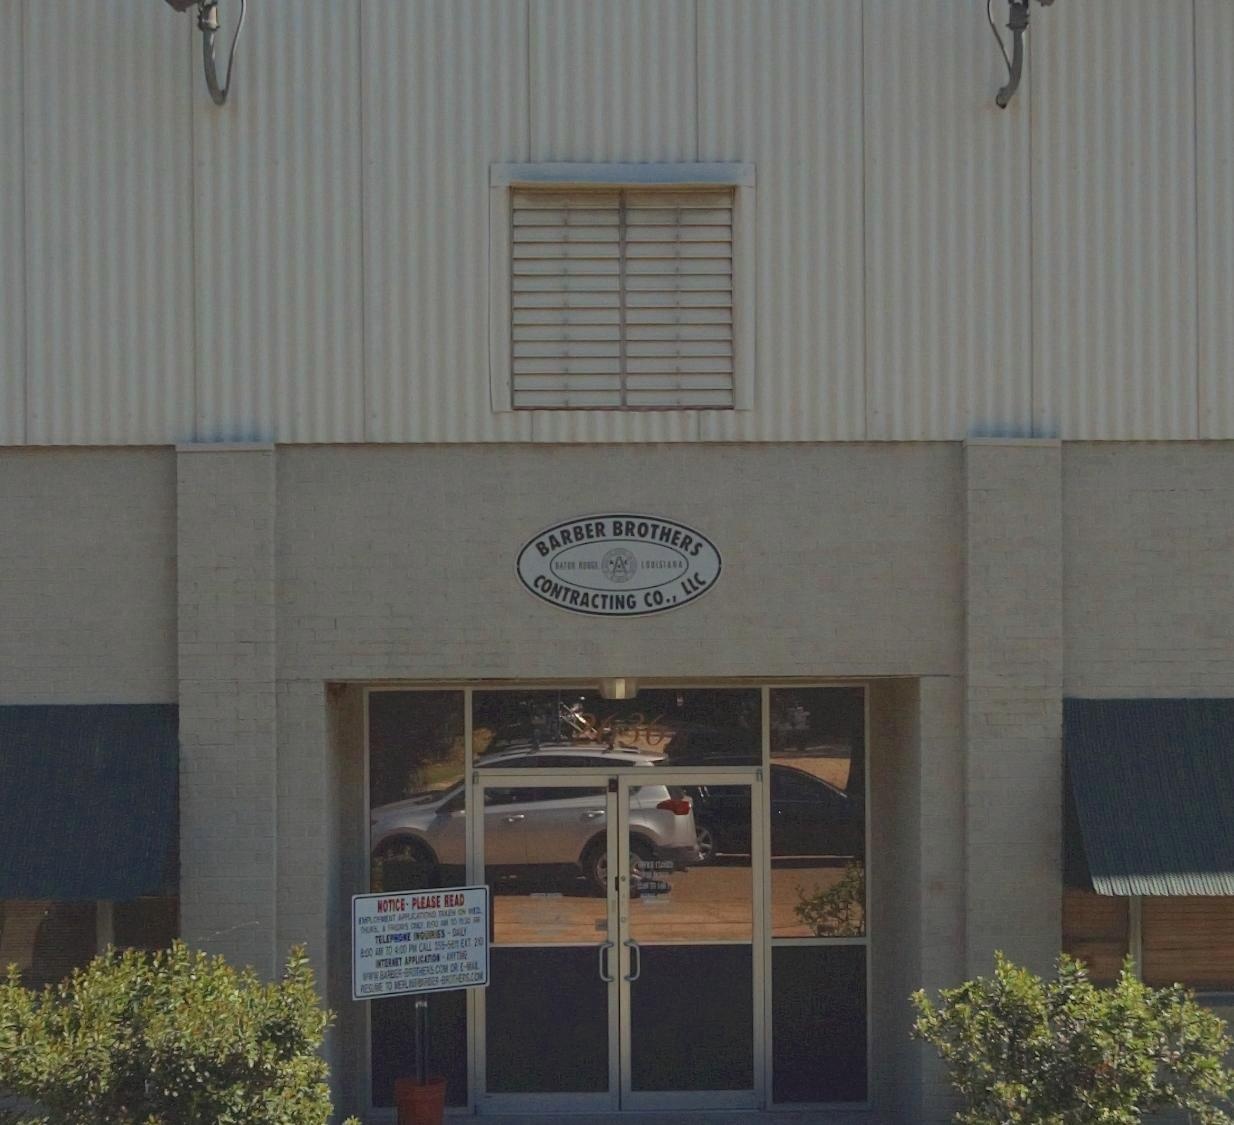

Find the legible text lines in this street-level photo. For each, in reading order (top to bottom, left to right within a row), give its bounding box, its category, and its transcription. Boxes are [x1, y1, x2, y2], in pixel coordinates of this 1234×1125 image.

[530, 518, 707, 559] BusinessName: BARBER BROTHERS
[553, 559, 685, 571] None: BATON ROUGE * LOUISIANA
[529, 570, 712, 613] BusinessName: CONTRACTING CO., LLC
[565, 709, 673, 749] StreetNumber: 2636
[375, 890, 467, 915] None: NOTICE - PLEASE READ